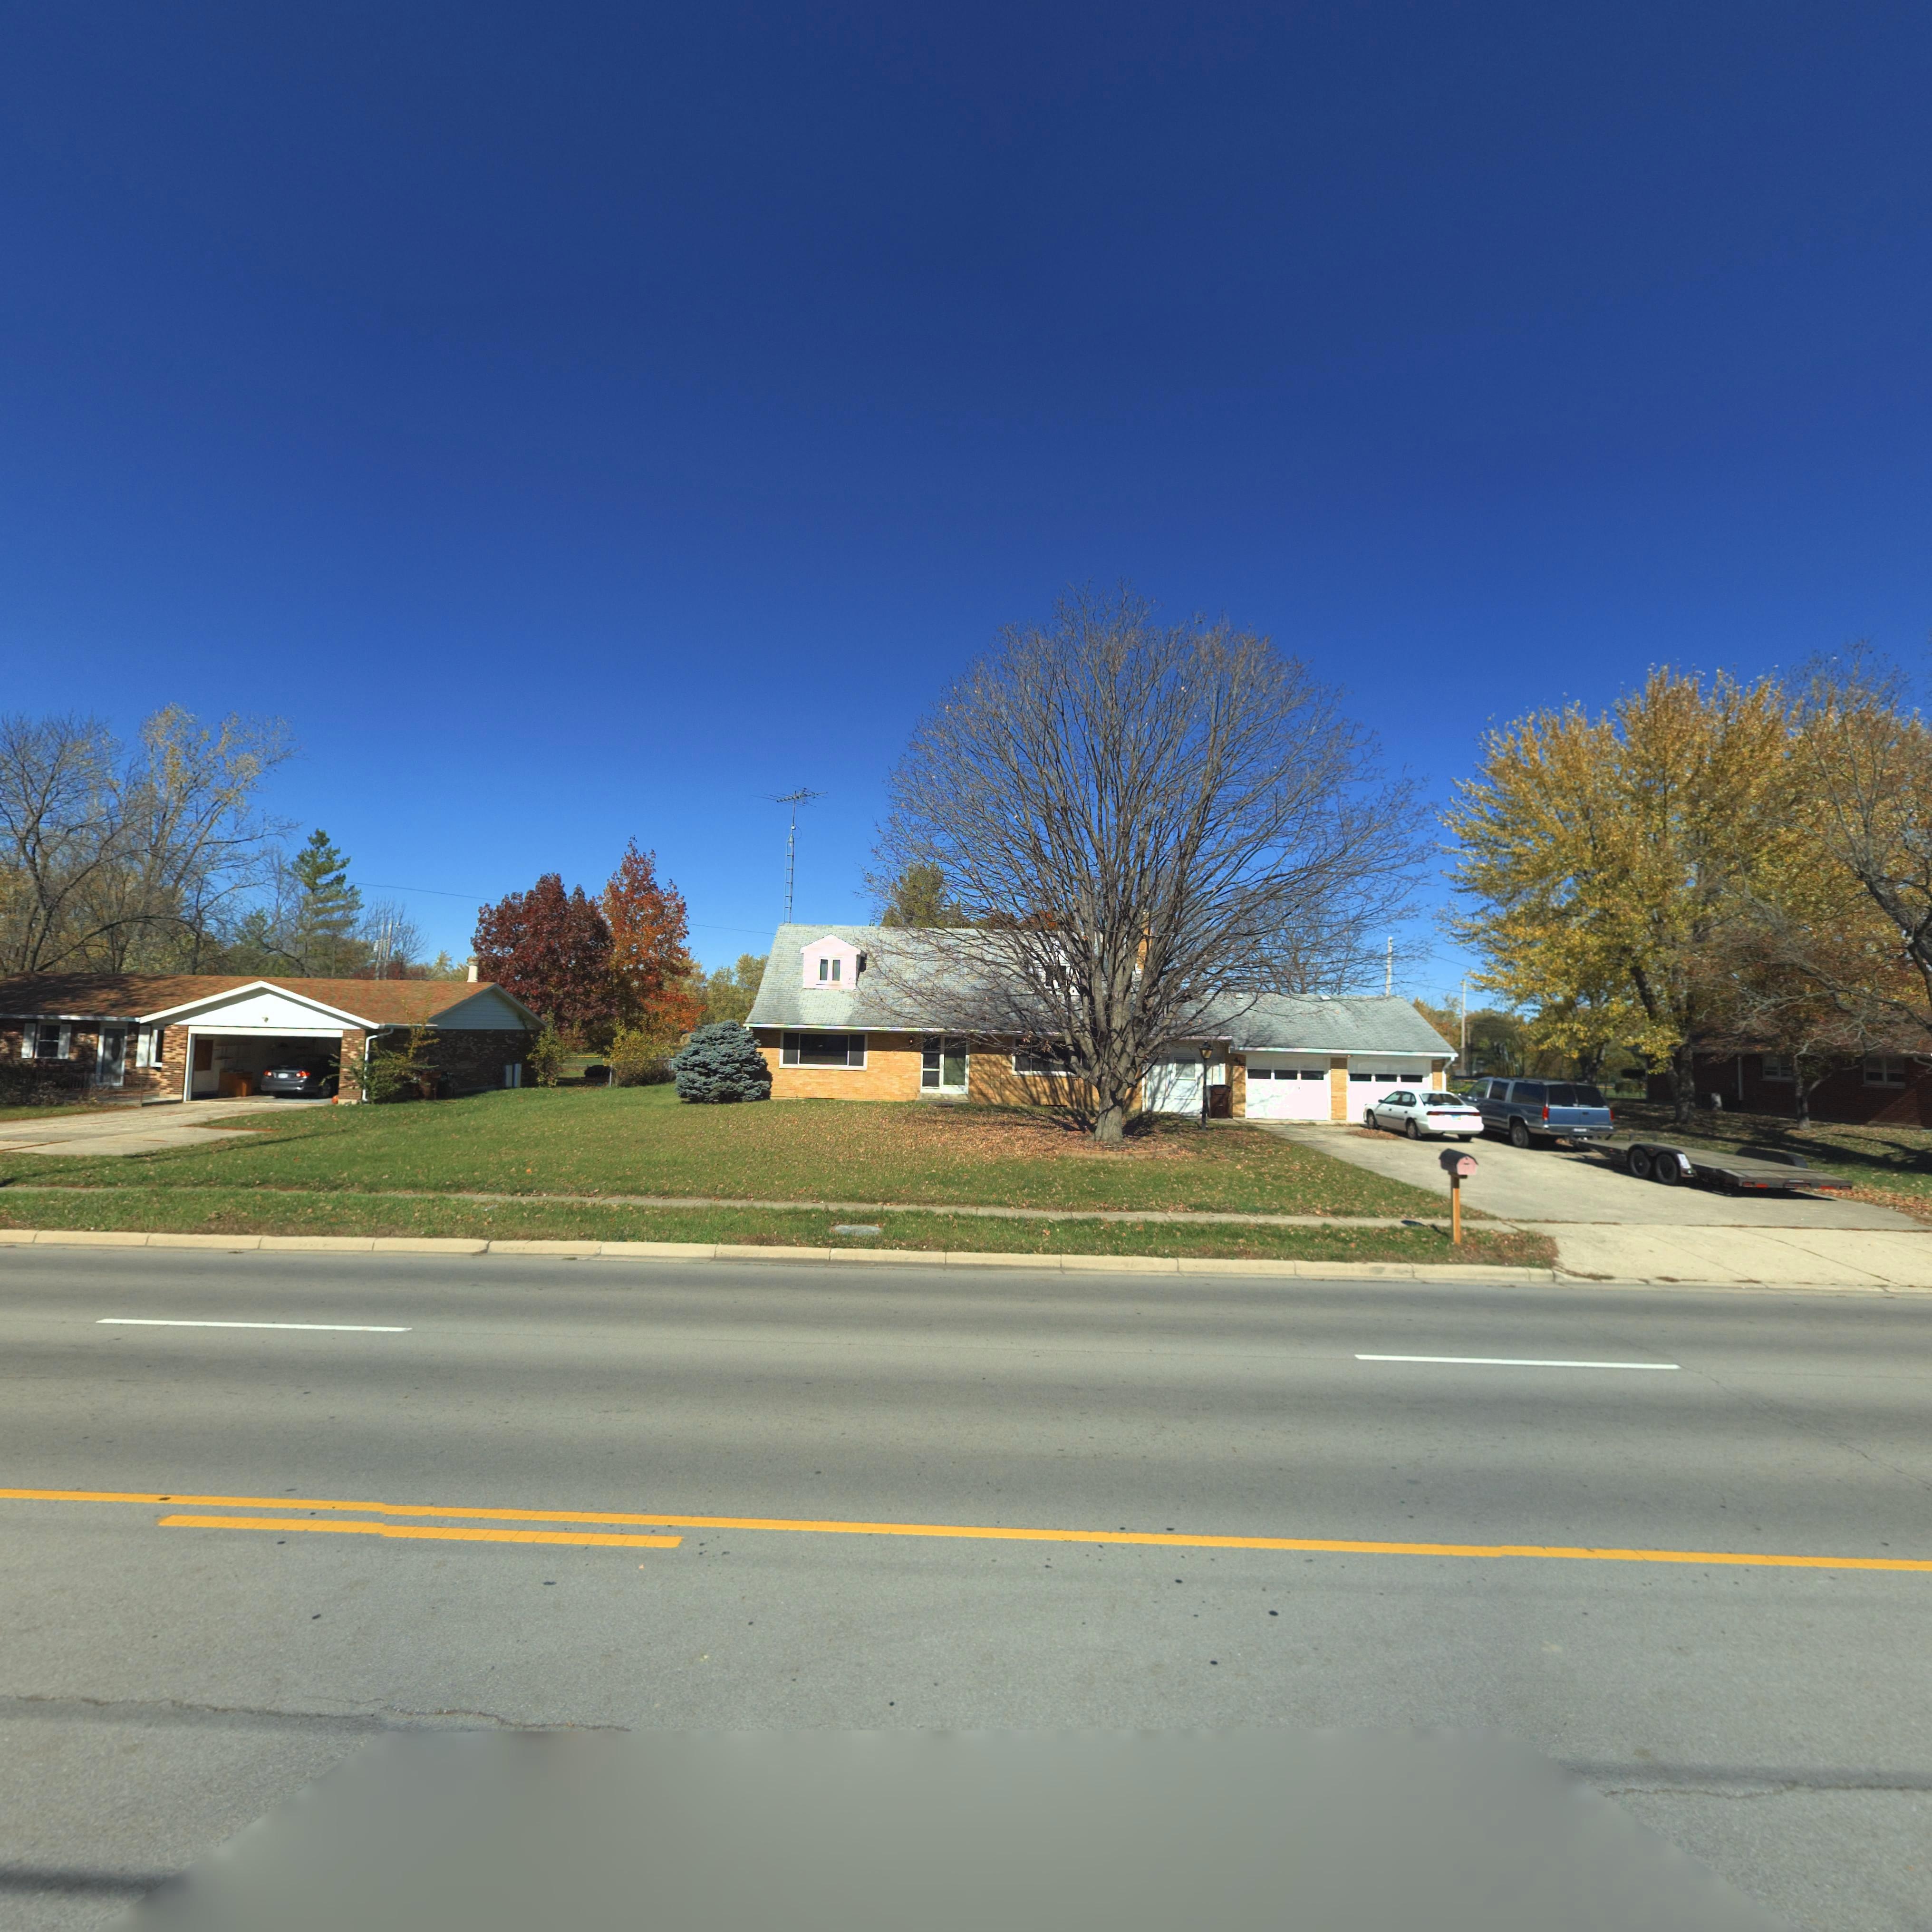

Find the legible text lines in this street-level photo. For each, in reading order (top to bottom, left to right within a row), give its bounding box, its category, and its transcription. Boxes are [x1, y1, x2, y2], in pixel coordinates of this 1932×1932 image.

[1232, 1056, 1246, 1069] StreetNumber: 4*5